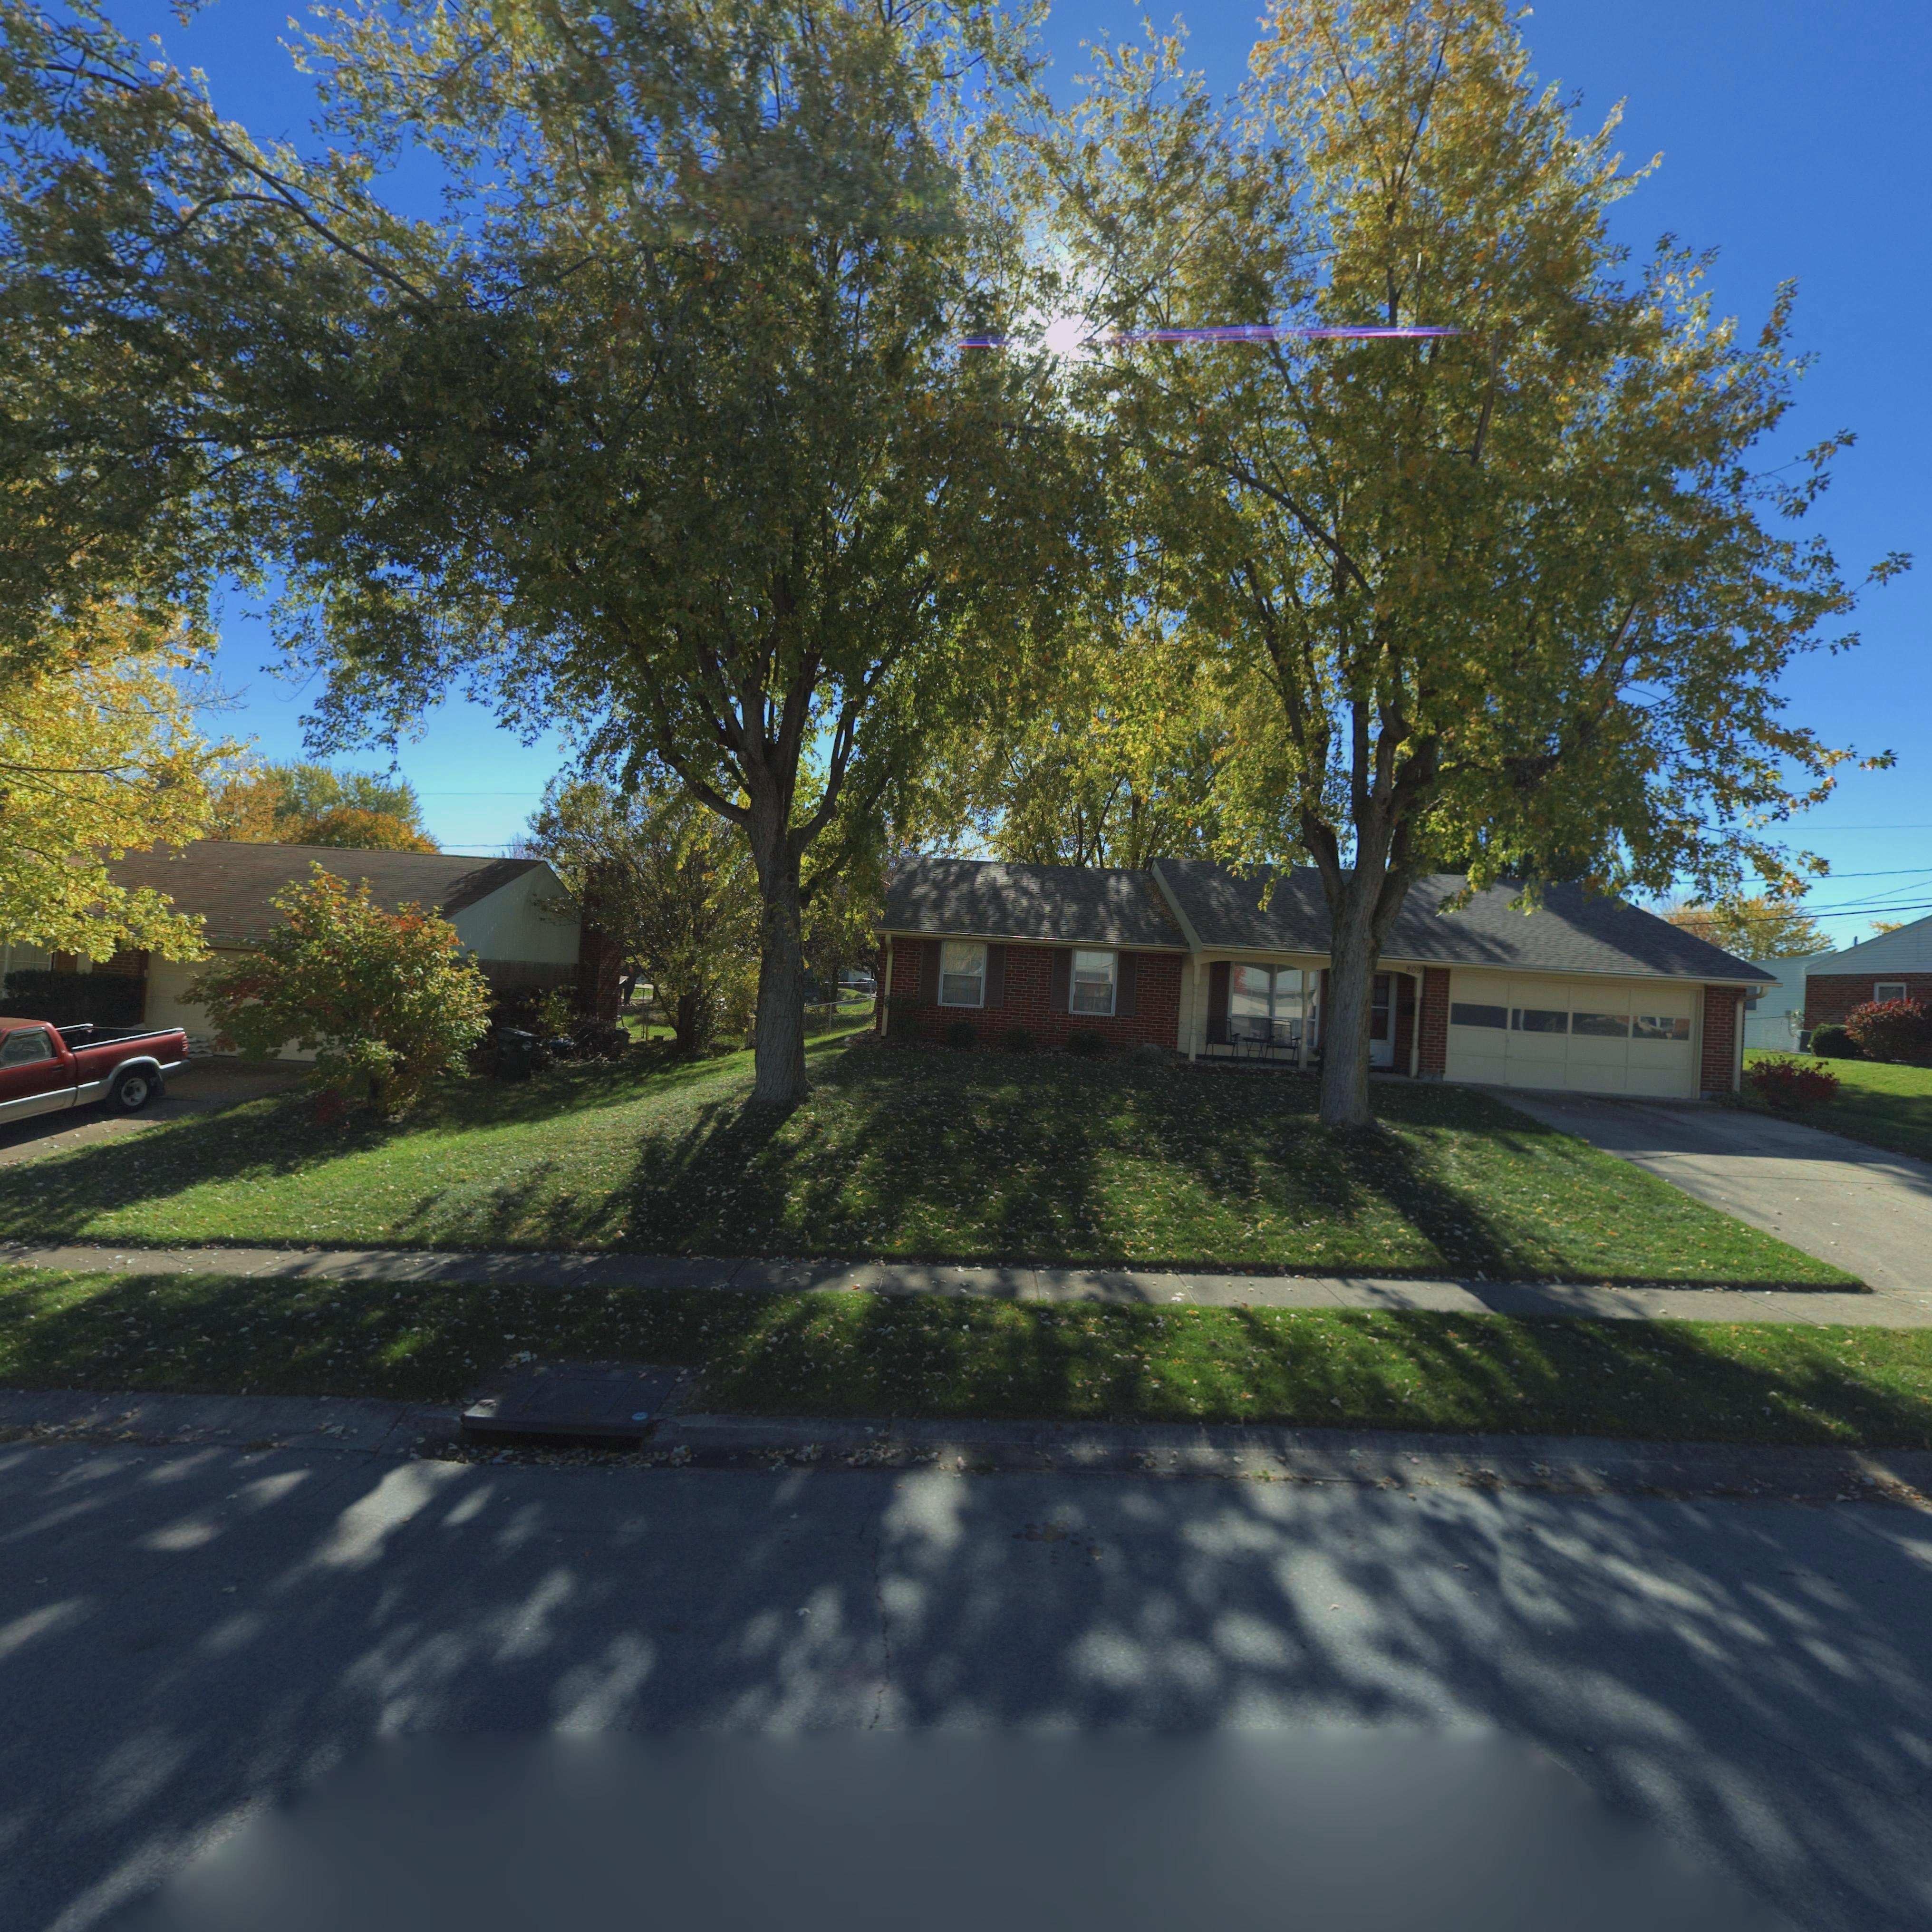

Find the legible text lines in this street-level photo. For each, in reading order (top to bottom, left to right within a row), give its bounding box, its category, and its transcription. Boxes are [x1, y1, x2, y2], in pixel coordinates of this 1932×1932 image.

[1406, 965, 1423, 974] StreetNumber: 809